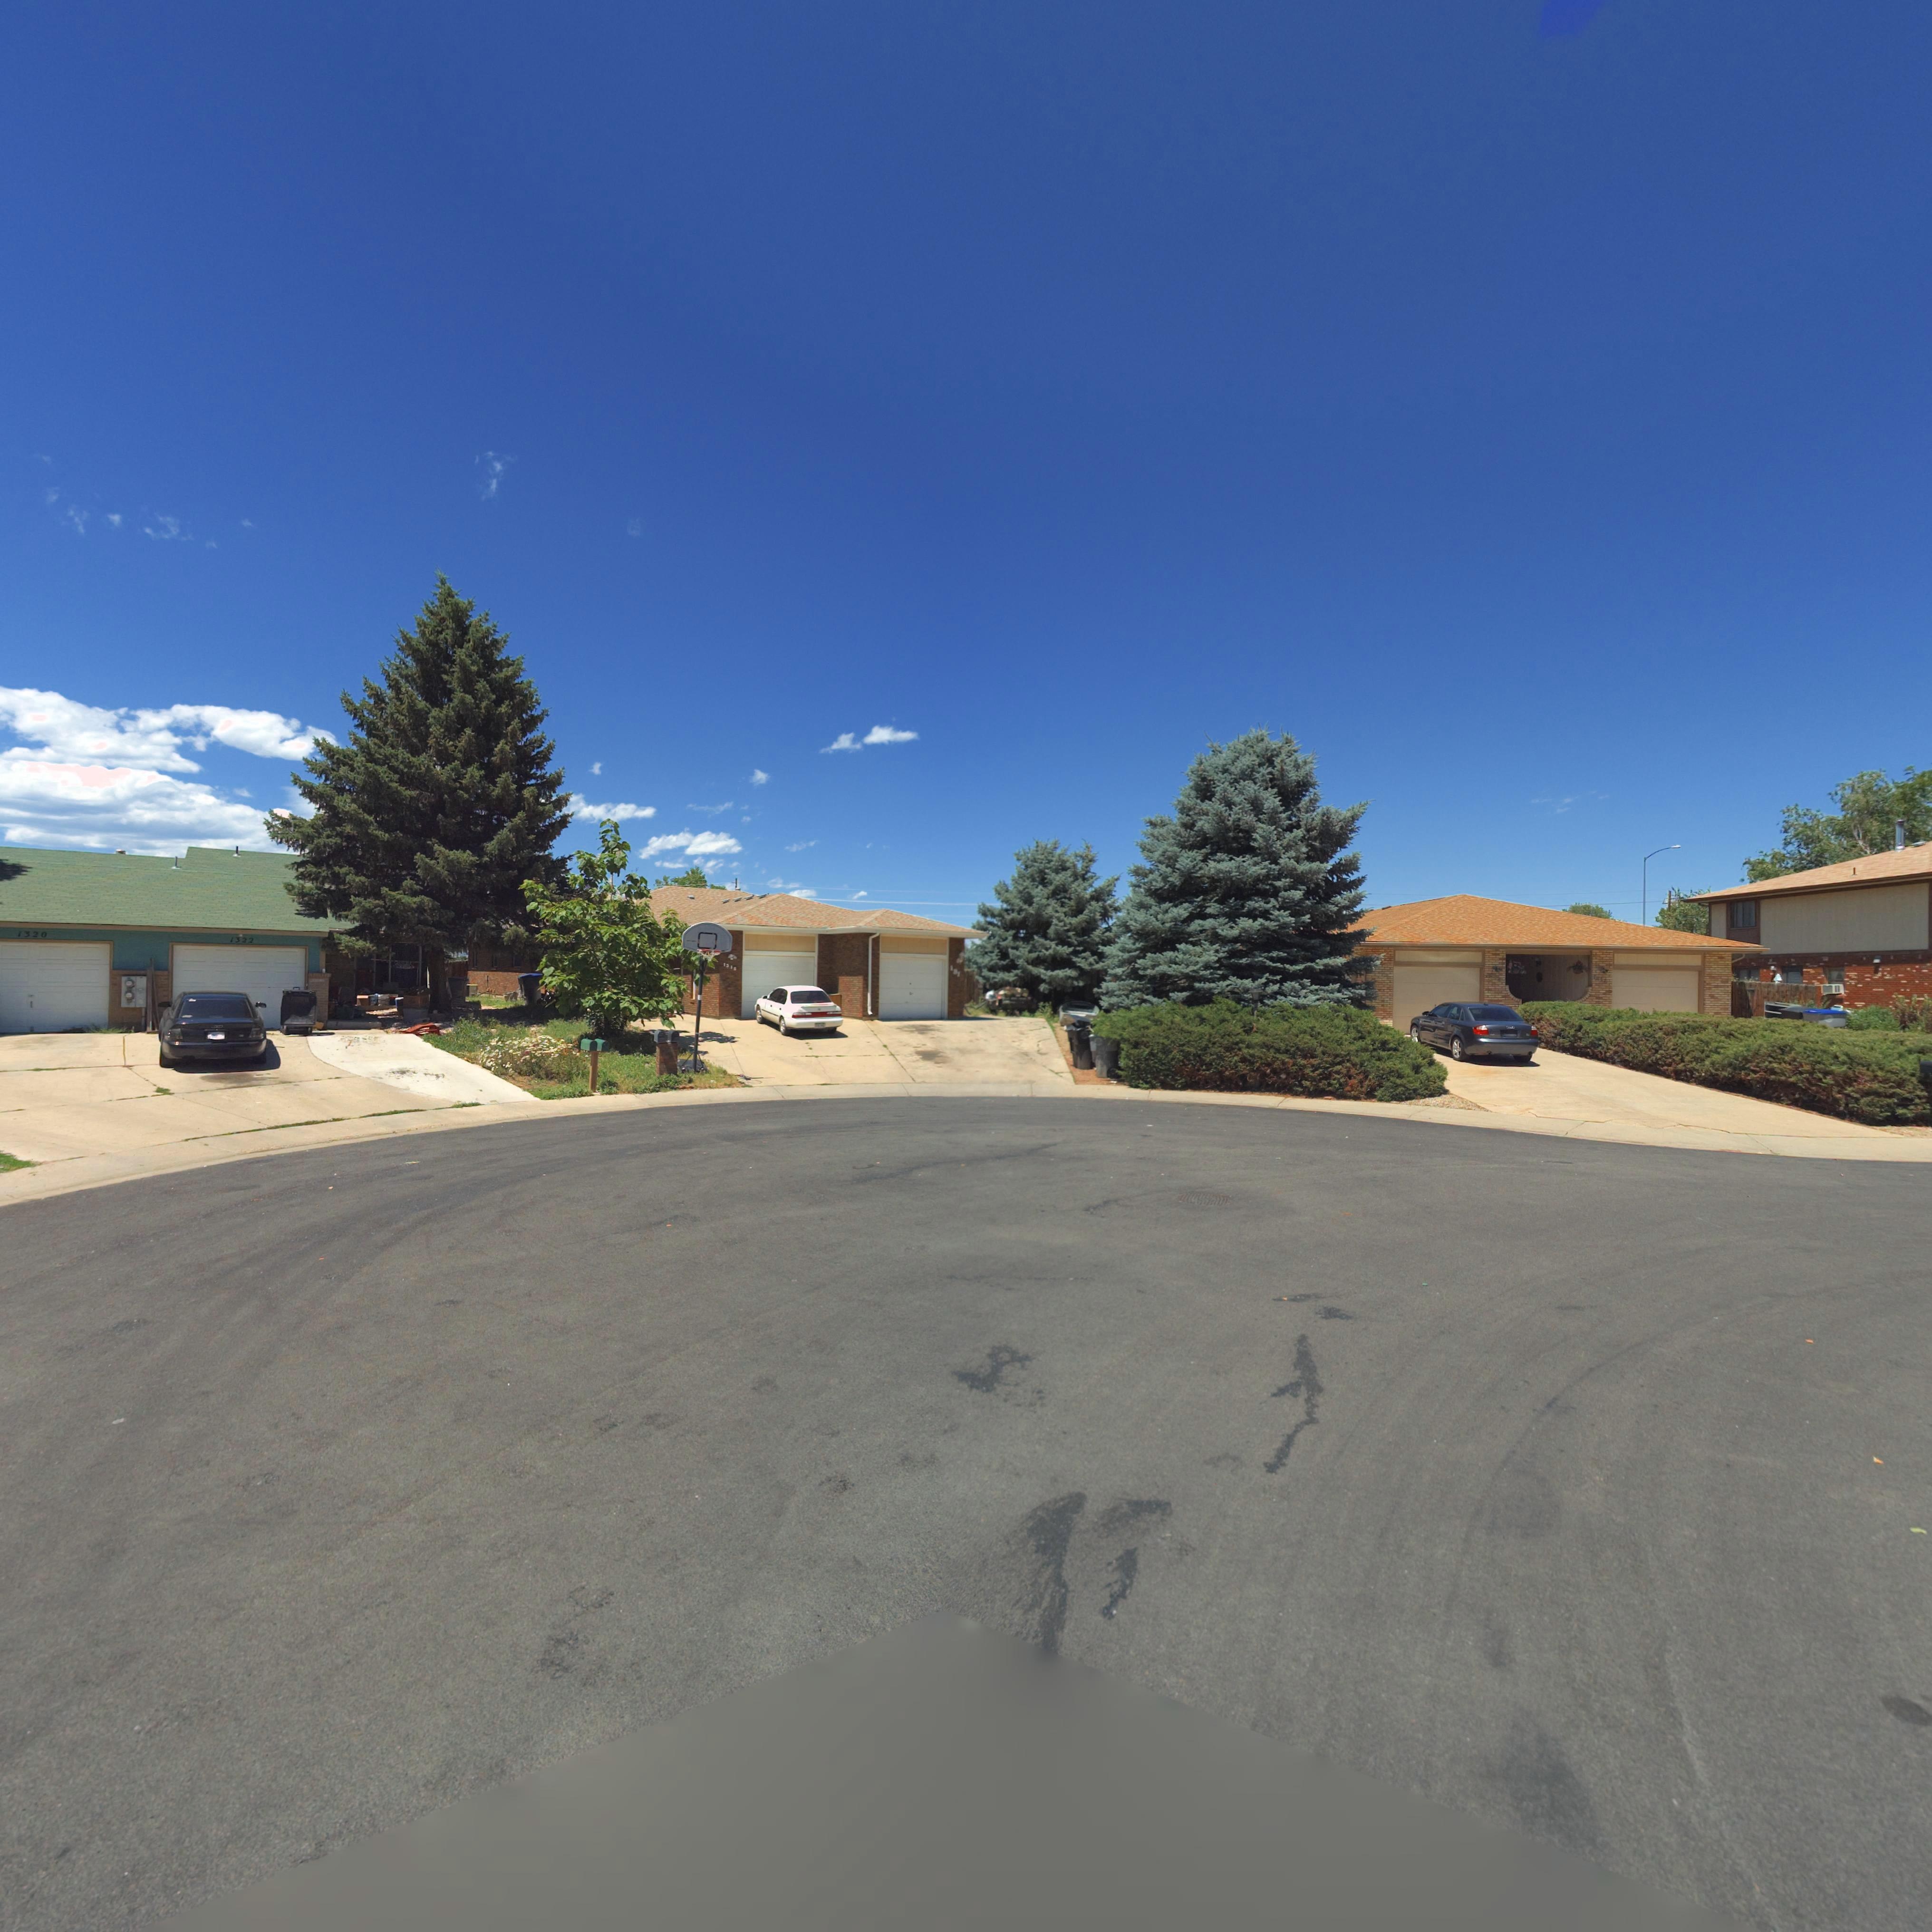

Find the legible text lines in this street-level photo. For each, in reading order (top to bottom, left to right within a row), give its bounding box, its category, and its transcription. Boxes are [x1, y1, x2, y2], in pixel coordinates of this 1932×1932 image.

[17, 930, 48, 938] StreetNumber: 1320
[229, 936, 254, 944] StreetNumber: 1322
[723, 962, 736, 971] StreetNumber: 131*
[949, 965, 960, 978] StreetNumber: 1*1
[1594, 974, 1608, 985] StreetNumber: 1*1*